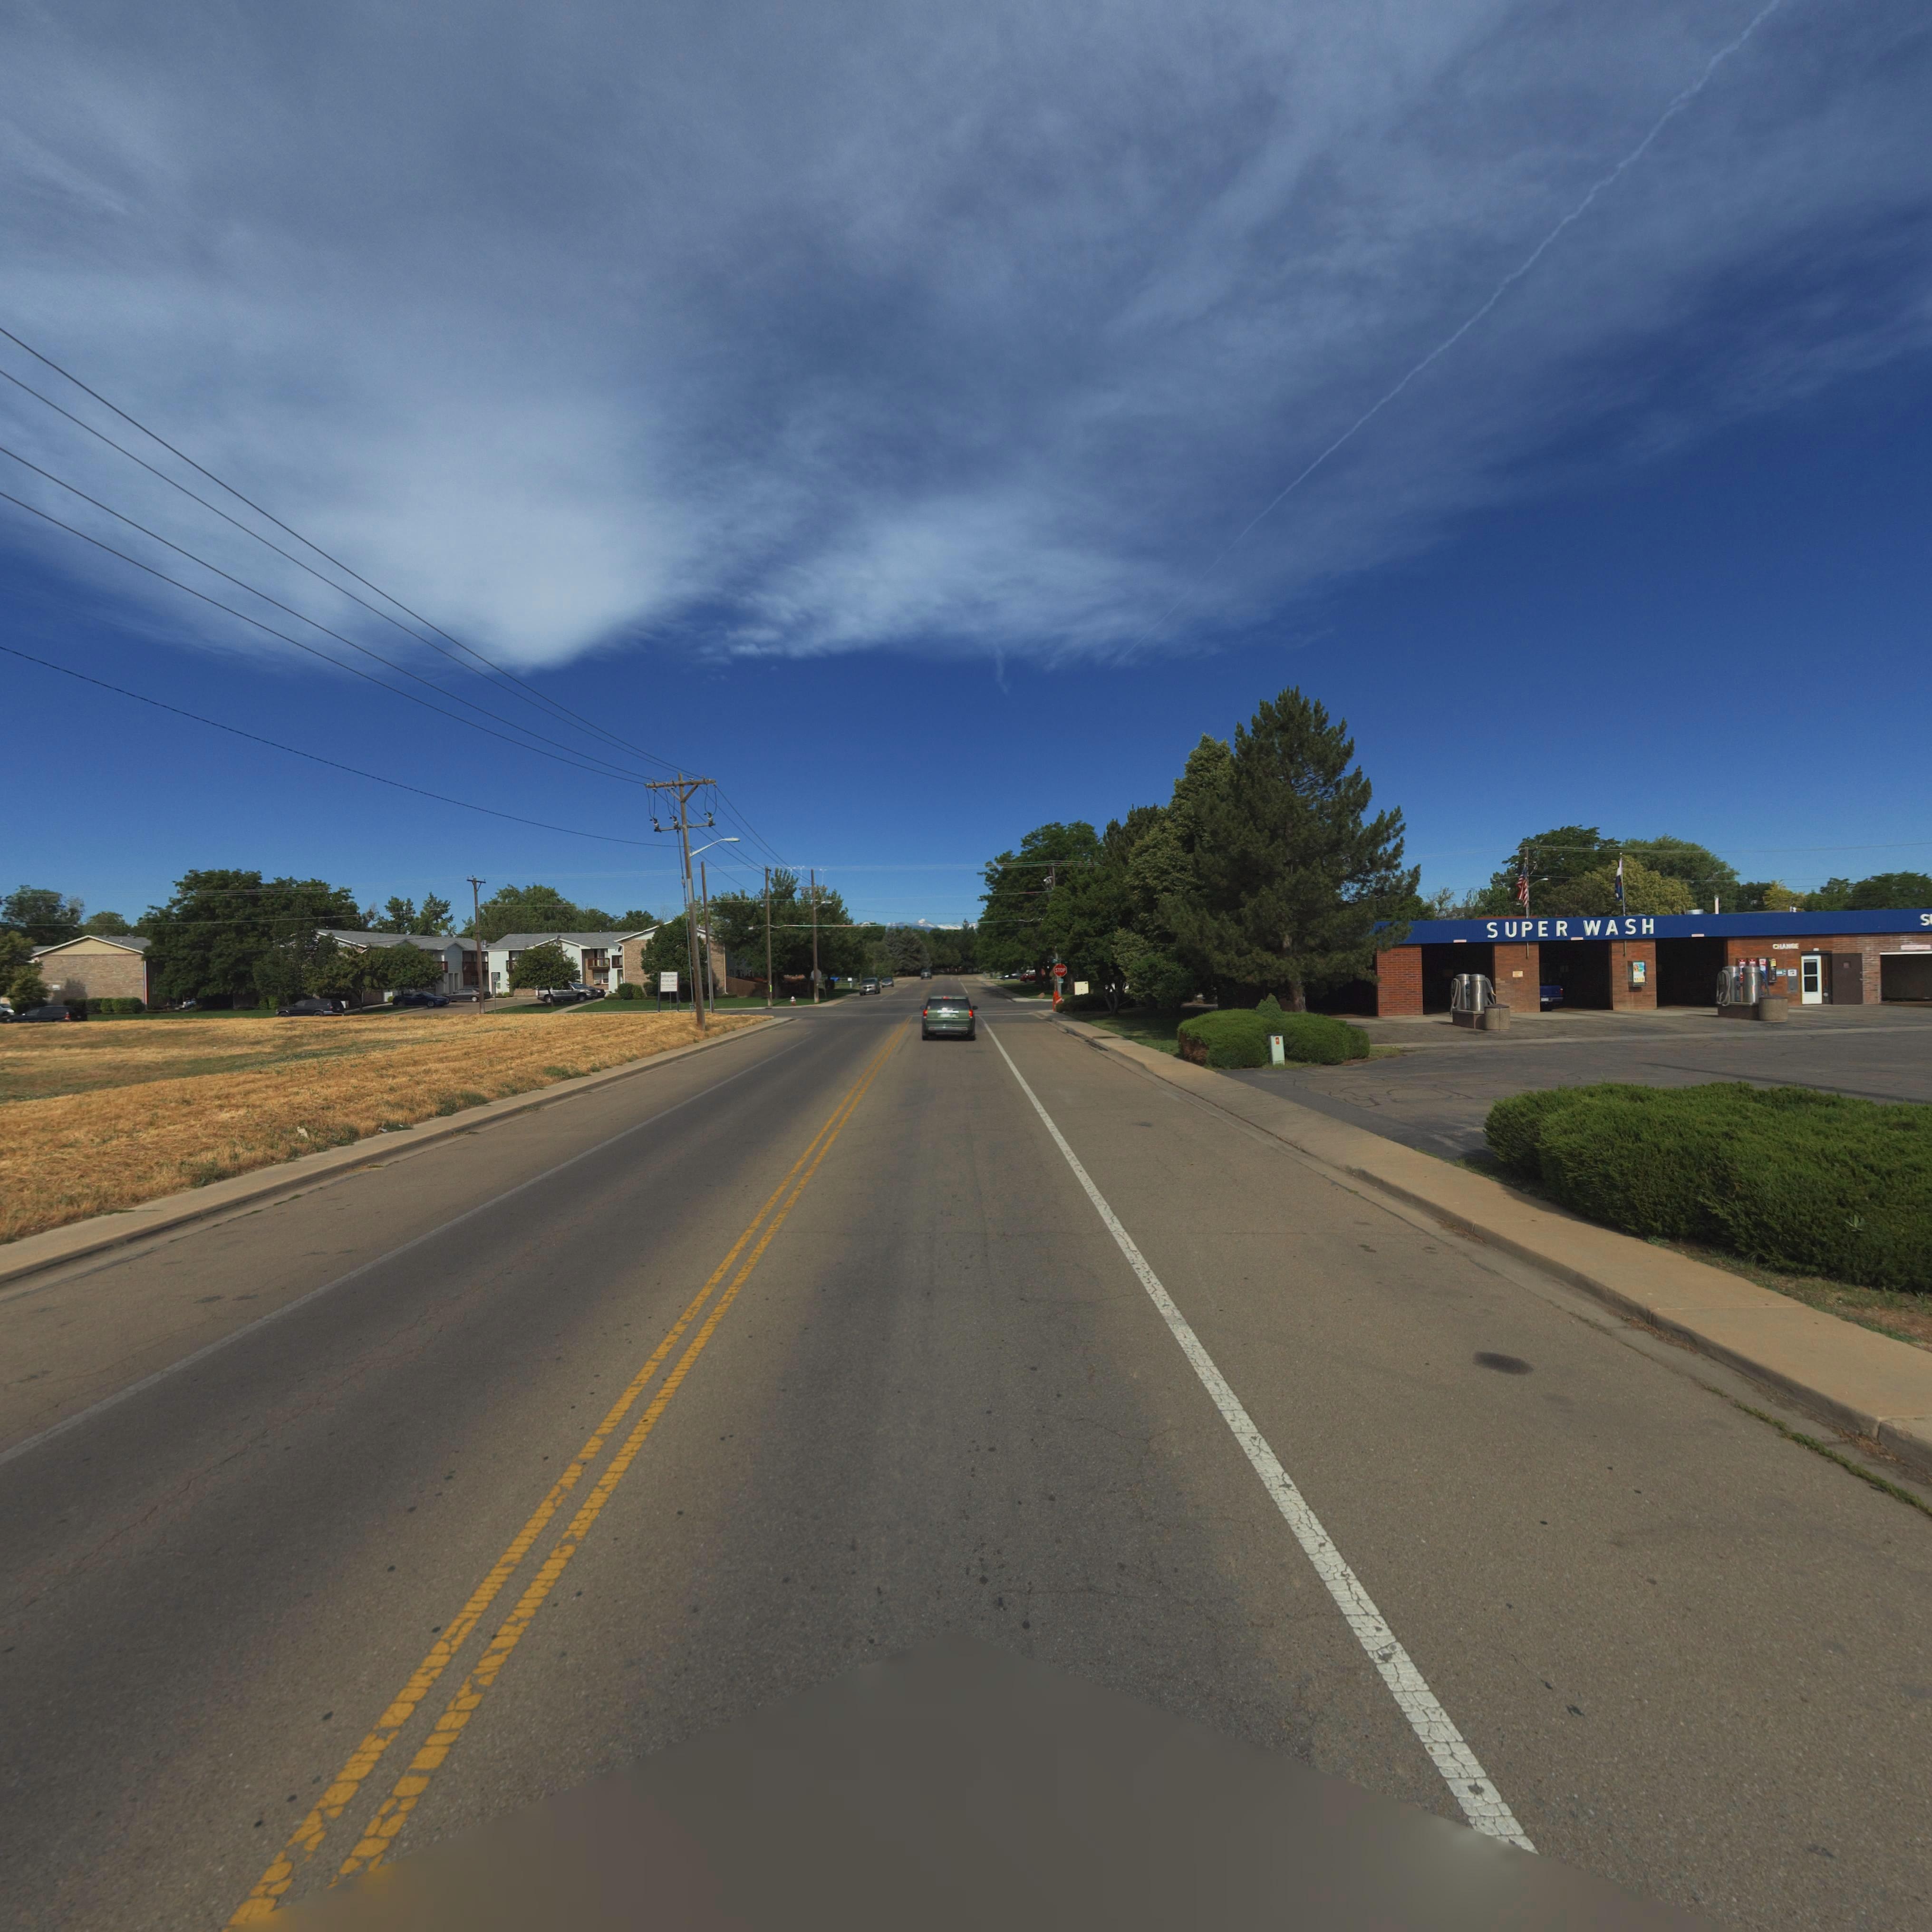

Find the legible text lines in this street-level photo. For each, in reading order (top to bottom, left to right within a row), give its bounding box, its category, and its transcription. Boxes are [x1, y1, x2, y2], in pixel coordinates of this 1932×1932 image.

[1486, 918, 1654, 939] BusinessName: SUPER WASH